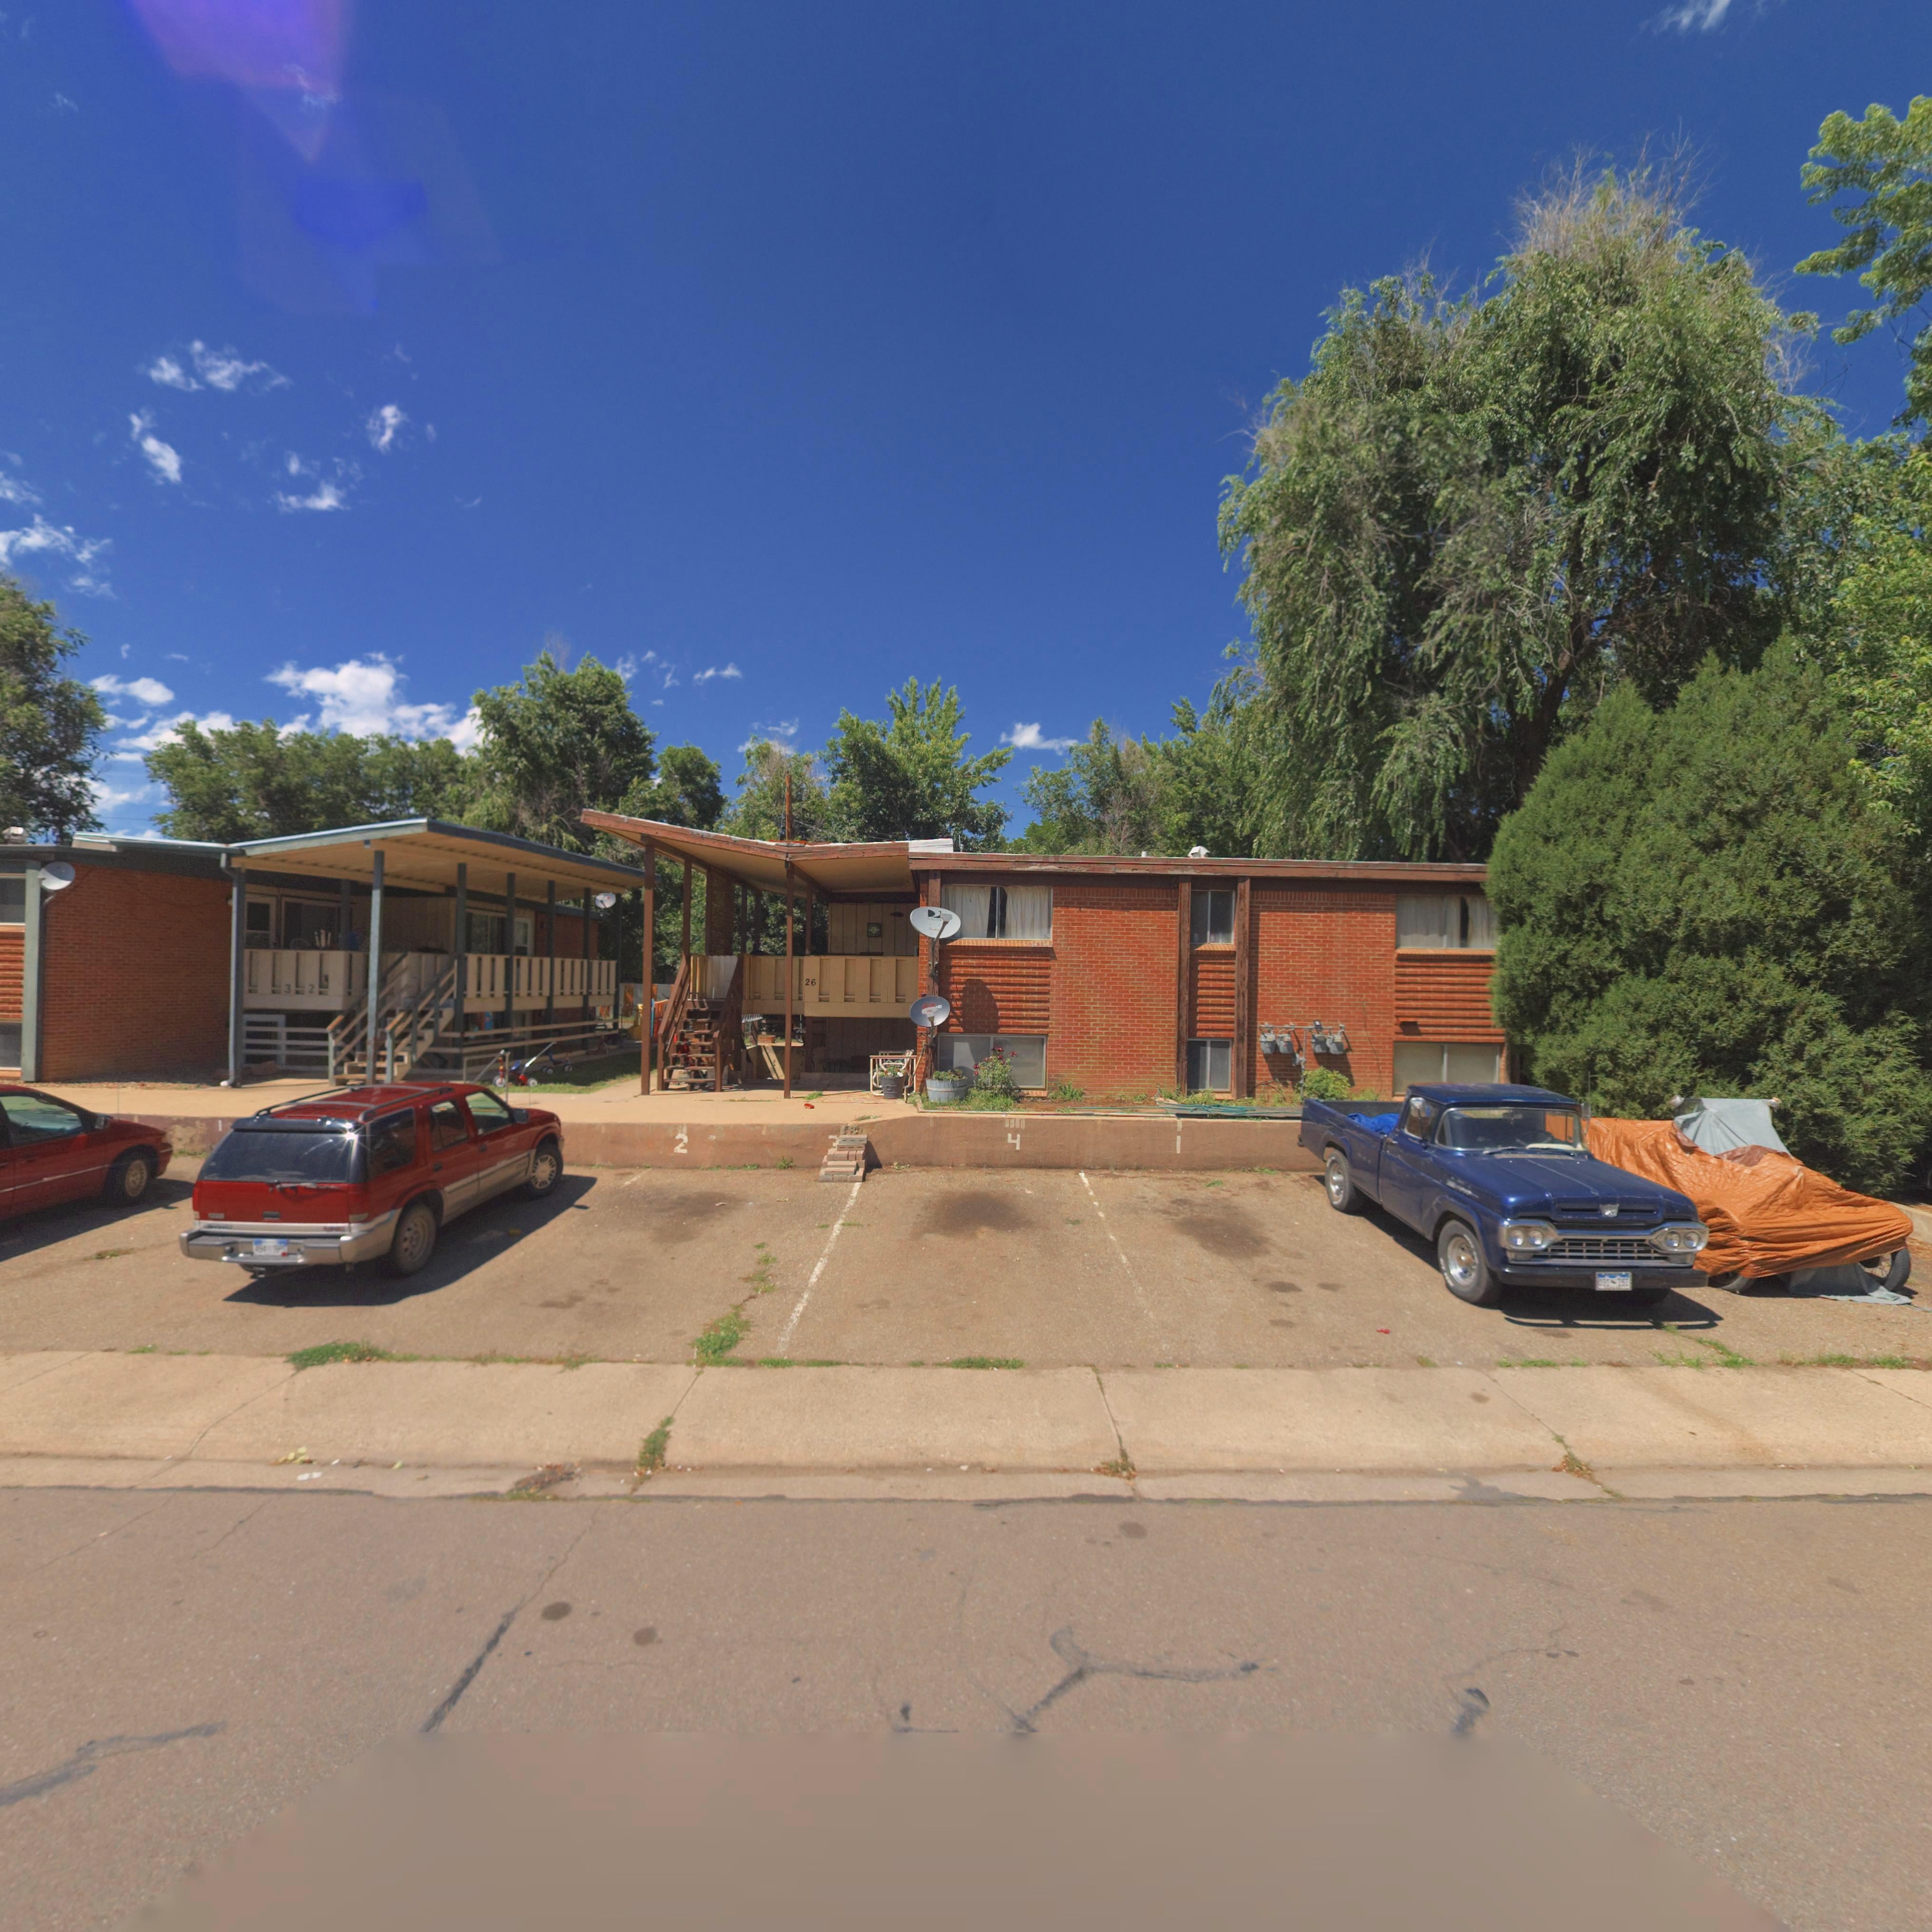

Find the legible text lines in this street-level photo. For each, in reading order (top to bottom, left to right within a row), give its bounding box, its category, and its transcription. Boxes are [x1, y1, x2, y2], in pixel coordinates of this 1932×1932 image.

[805, 978, 816, 986] StreetNumber: 26
[283, 983, 315, 993] StreetNumber: 3 2